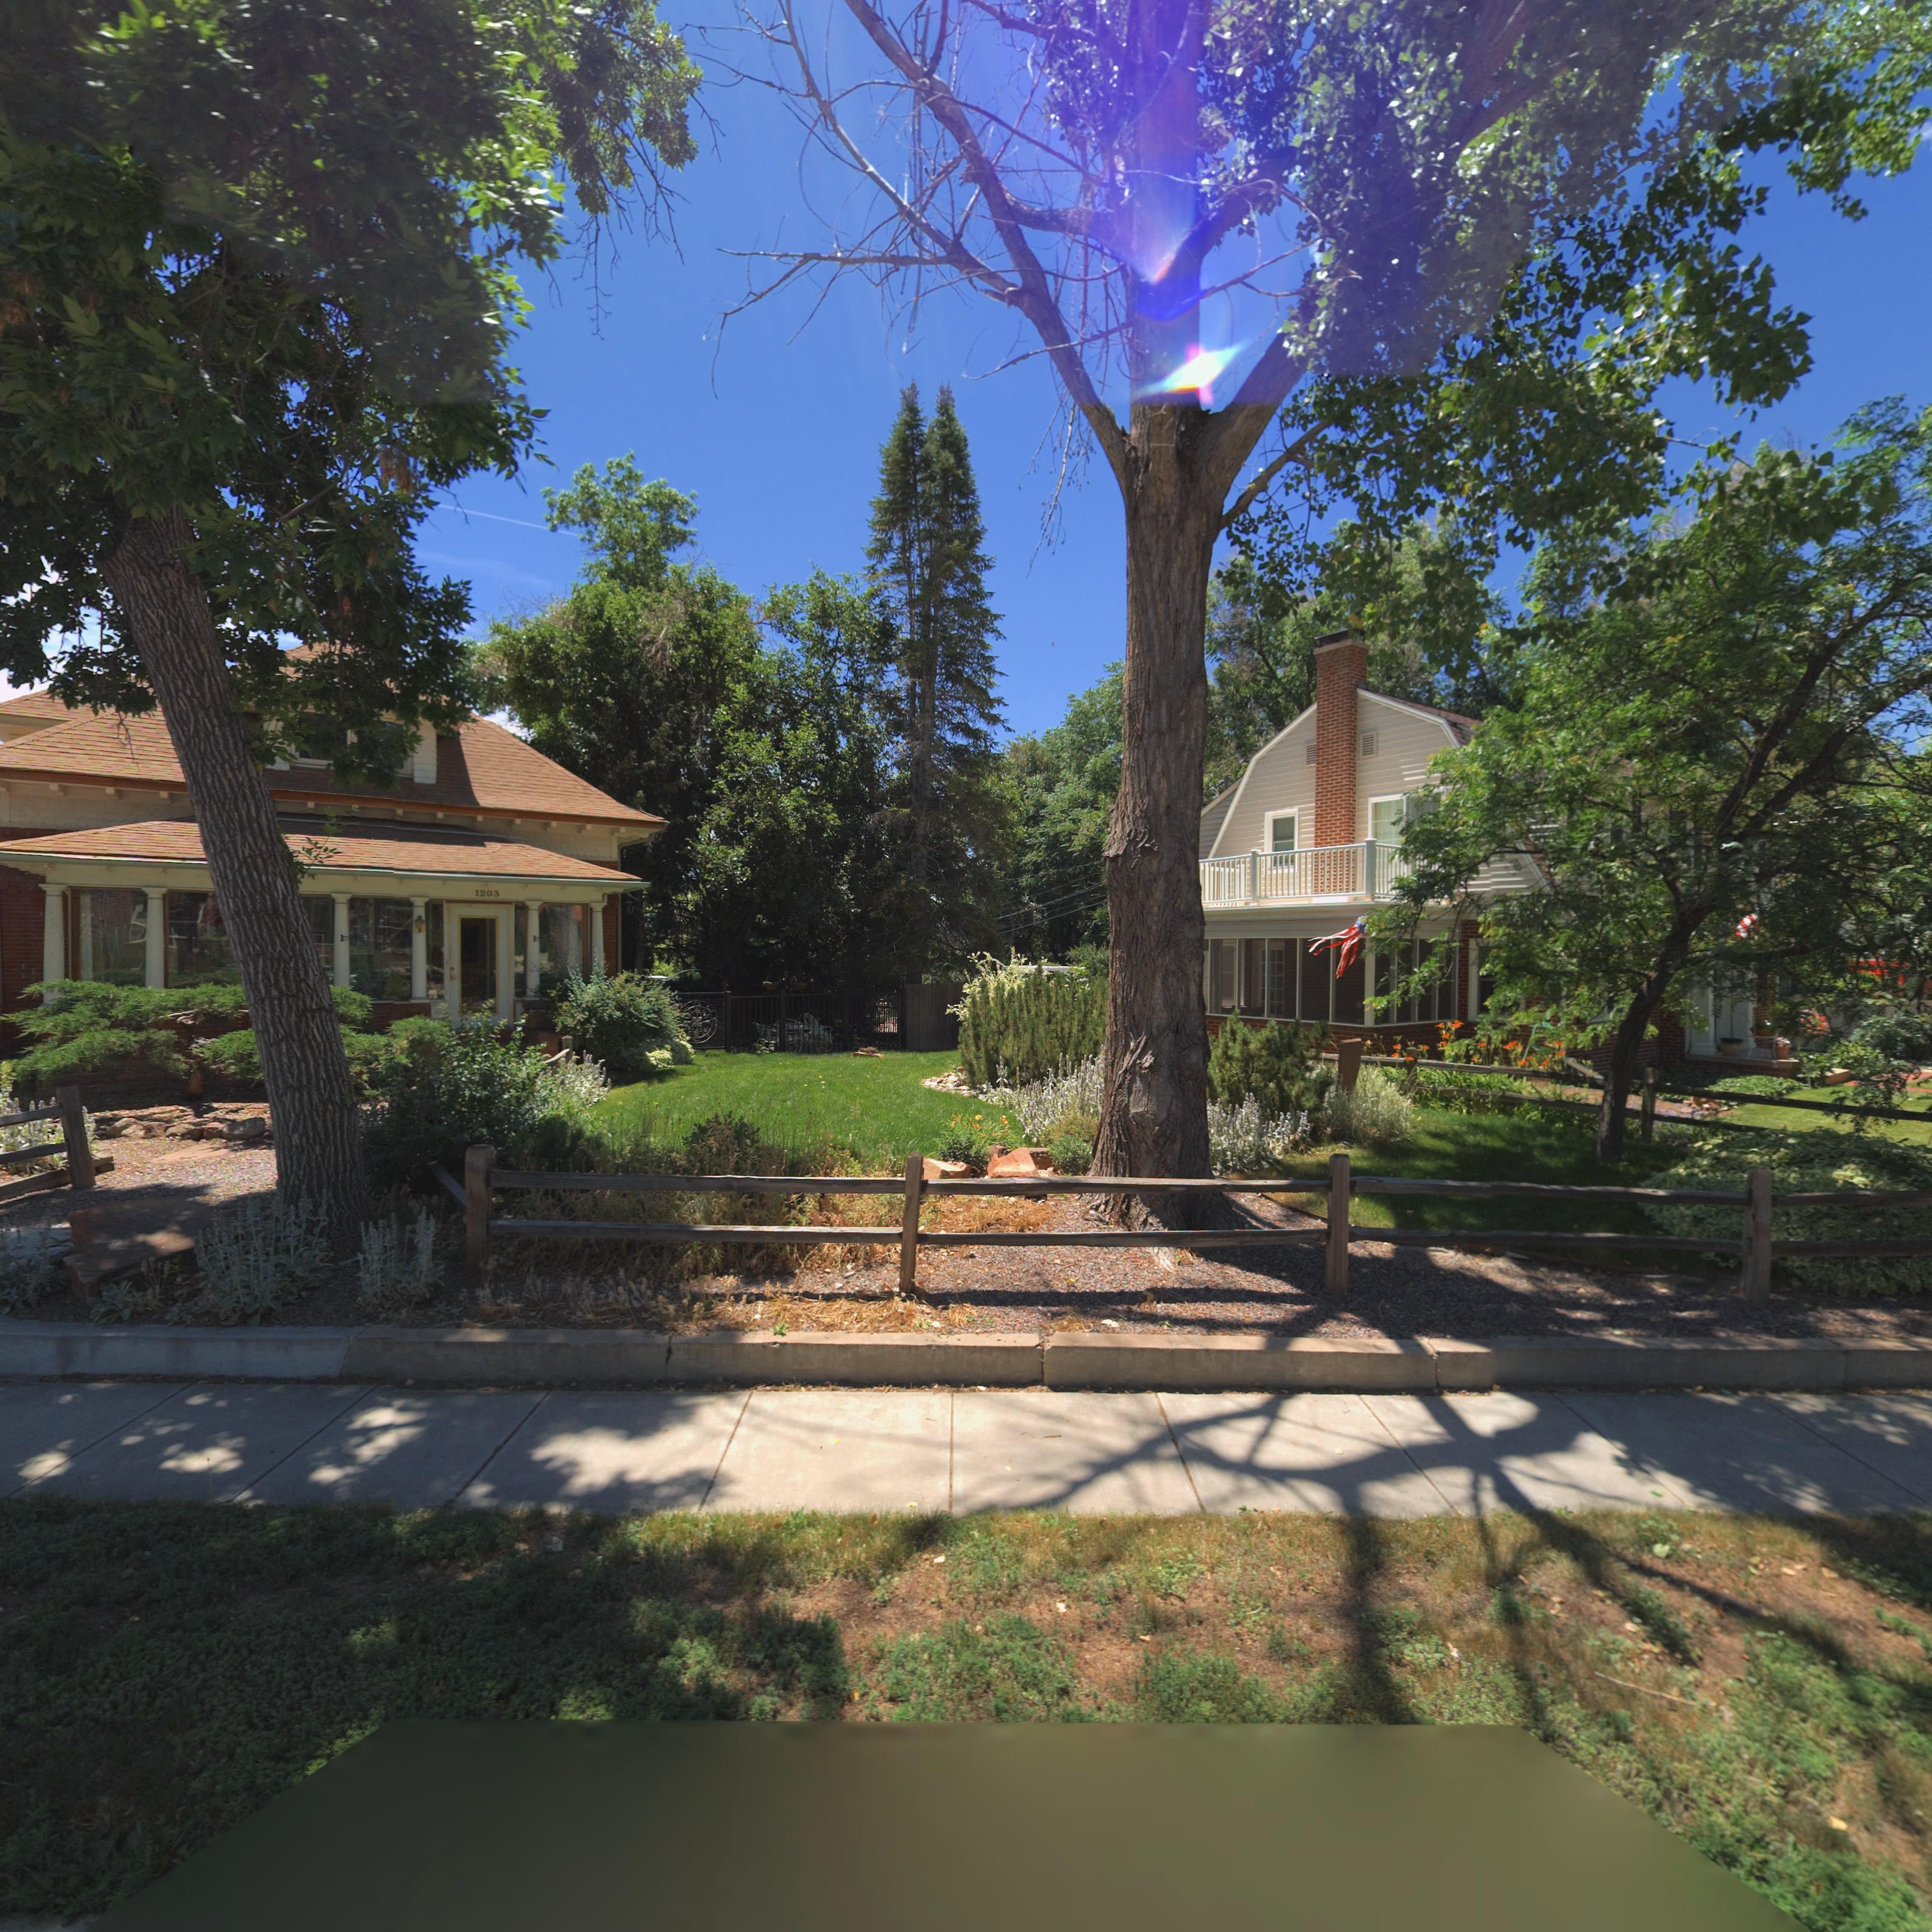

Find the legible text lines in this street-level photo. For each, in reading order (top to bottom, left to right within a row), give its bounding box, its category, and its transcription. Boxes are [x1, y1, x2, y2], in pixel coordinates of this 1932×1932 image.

[474, 889, 501, 897] StreetNumber: 1203